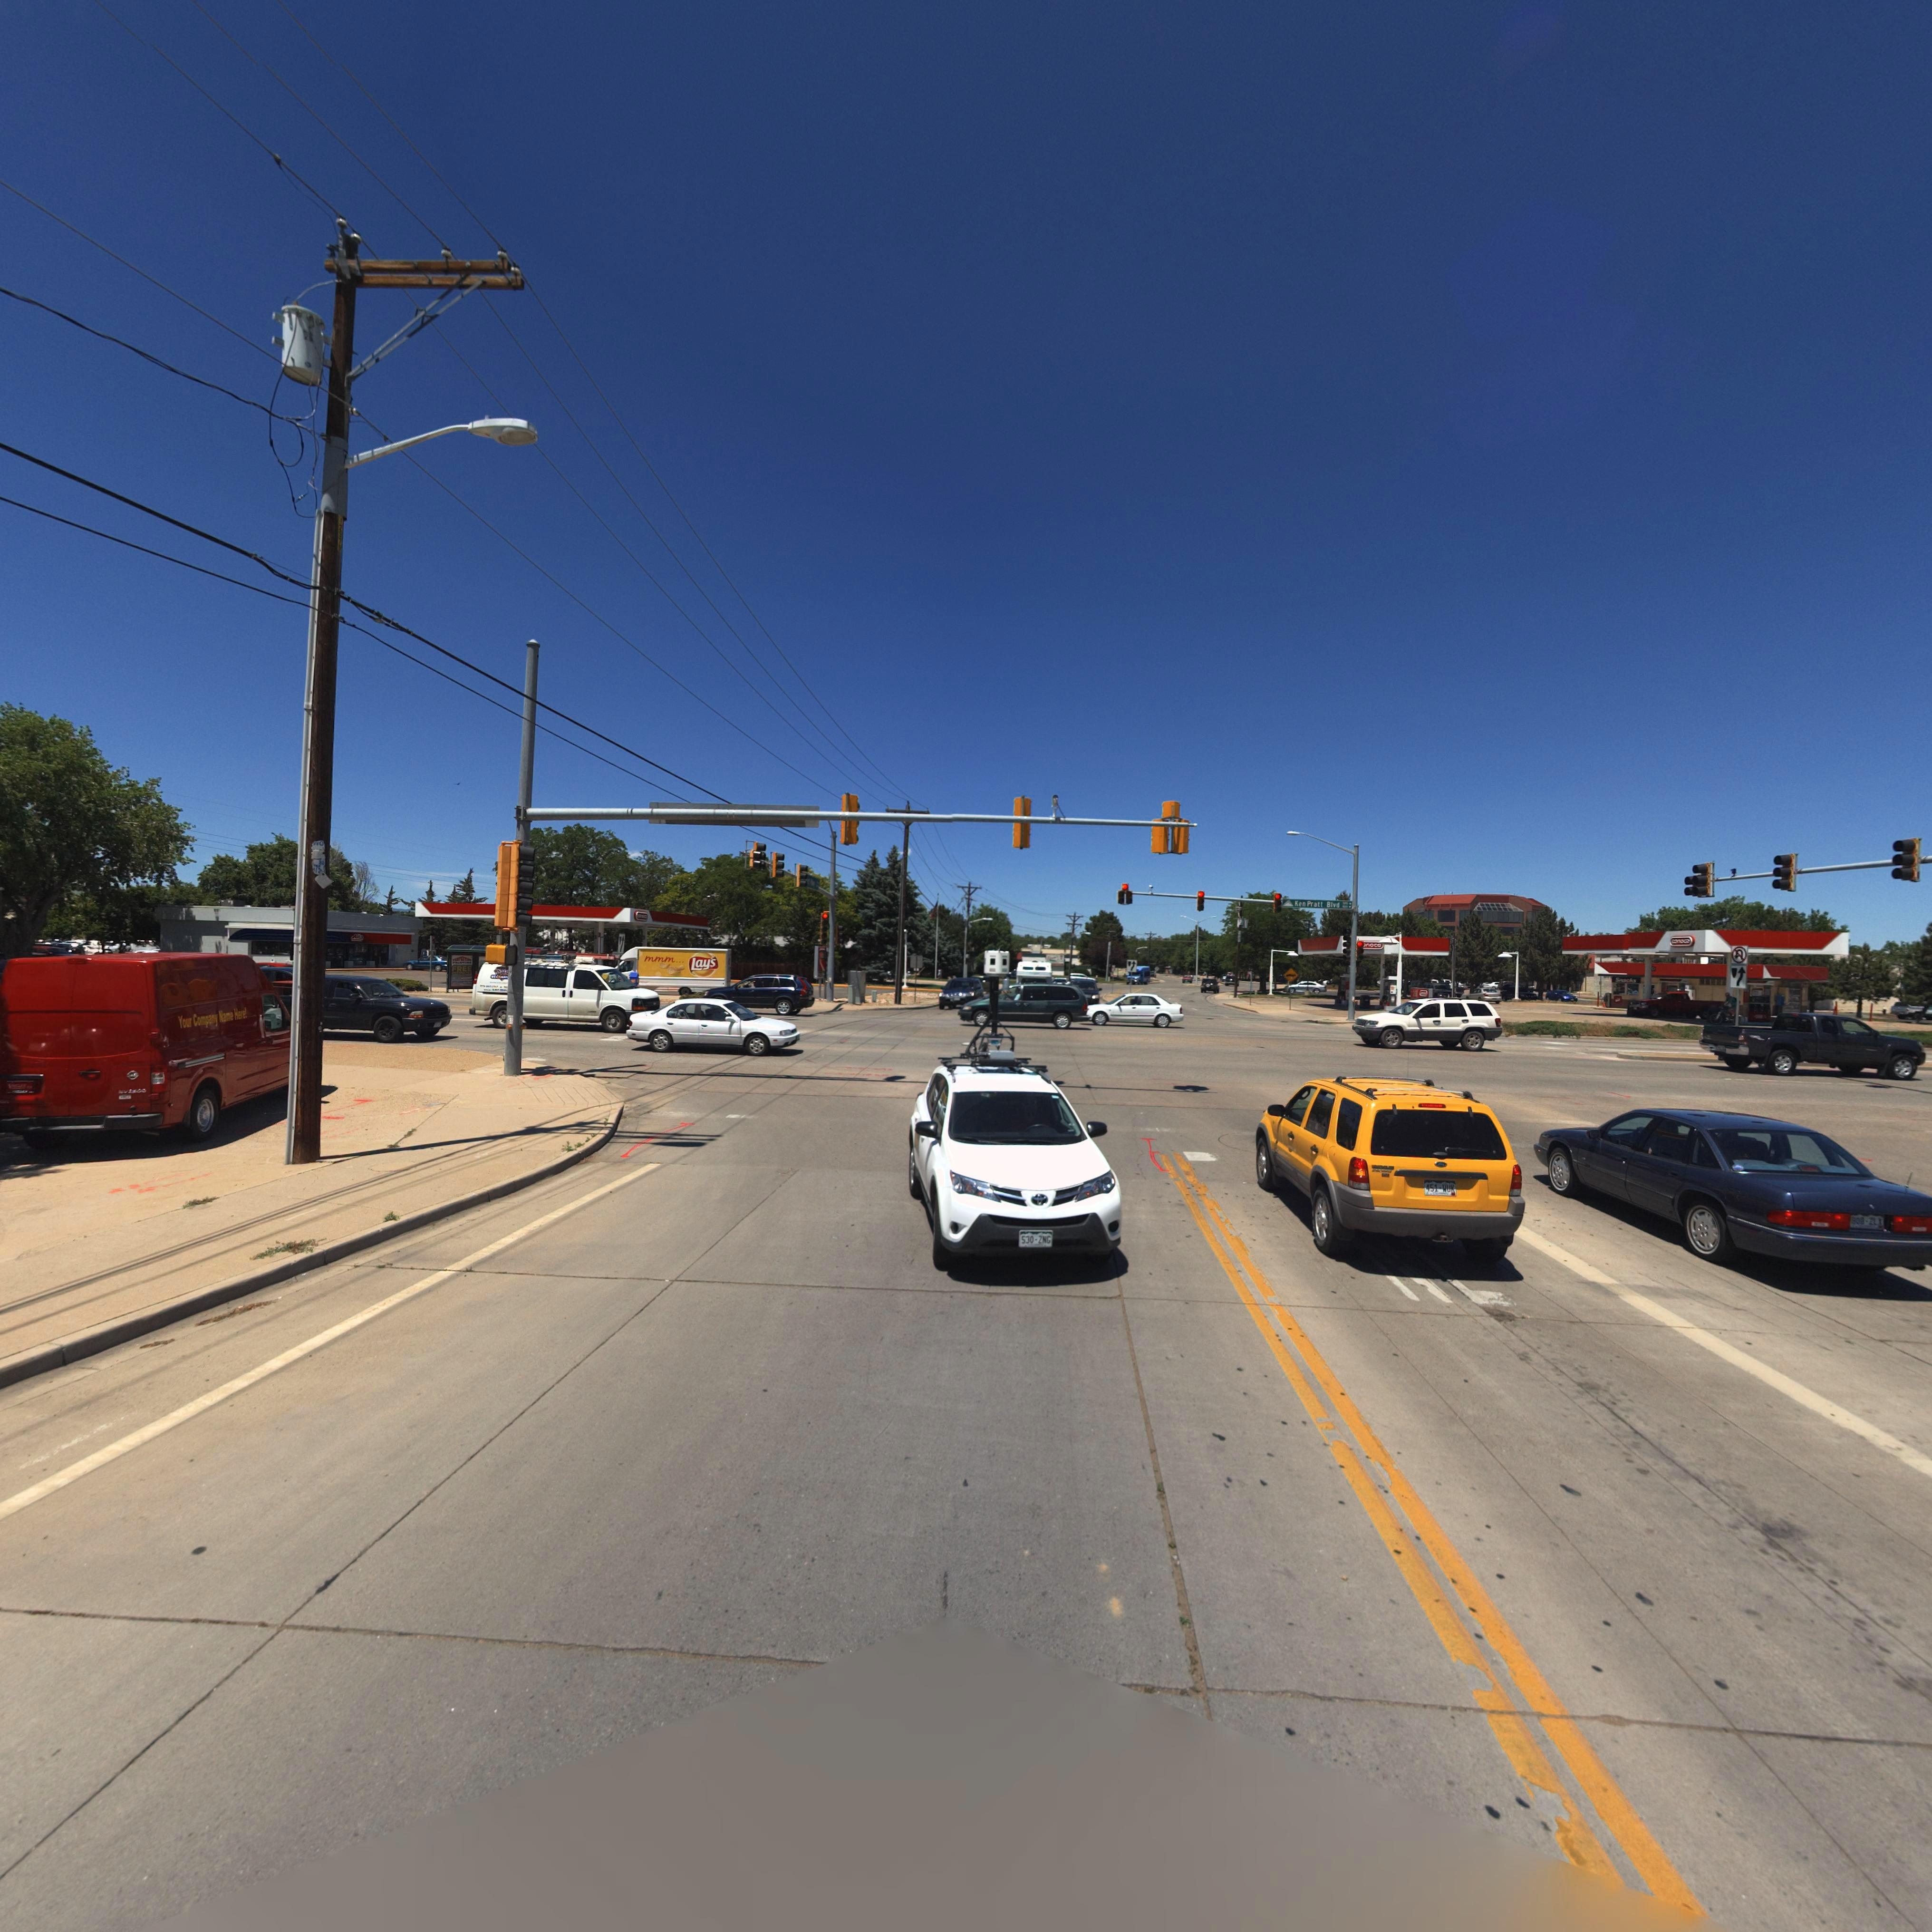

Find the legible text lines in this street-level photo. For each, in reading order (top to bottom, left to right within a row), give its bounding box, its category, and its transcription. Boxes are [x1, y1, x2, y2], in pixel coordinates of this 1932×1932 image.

[1294, 900, 1340, 908] StreetName: Ken Pratt Blvd
[637, 914, 647, 918] BusinessName: c***c*
[351, 934, 363, 938] BusinessName: Al**
[1671, 938, 1690, 943] BusinessName: co**c*
[1359, 943, 1381, 947] BusinessName: **noco
[491, 975, 508, 978] None: x*